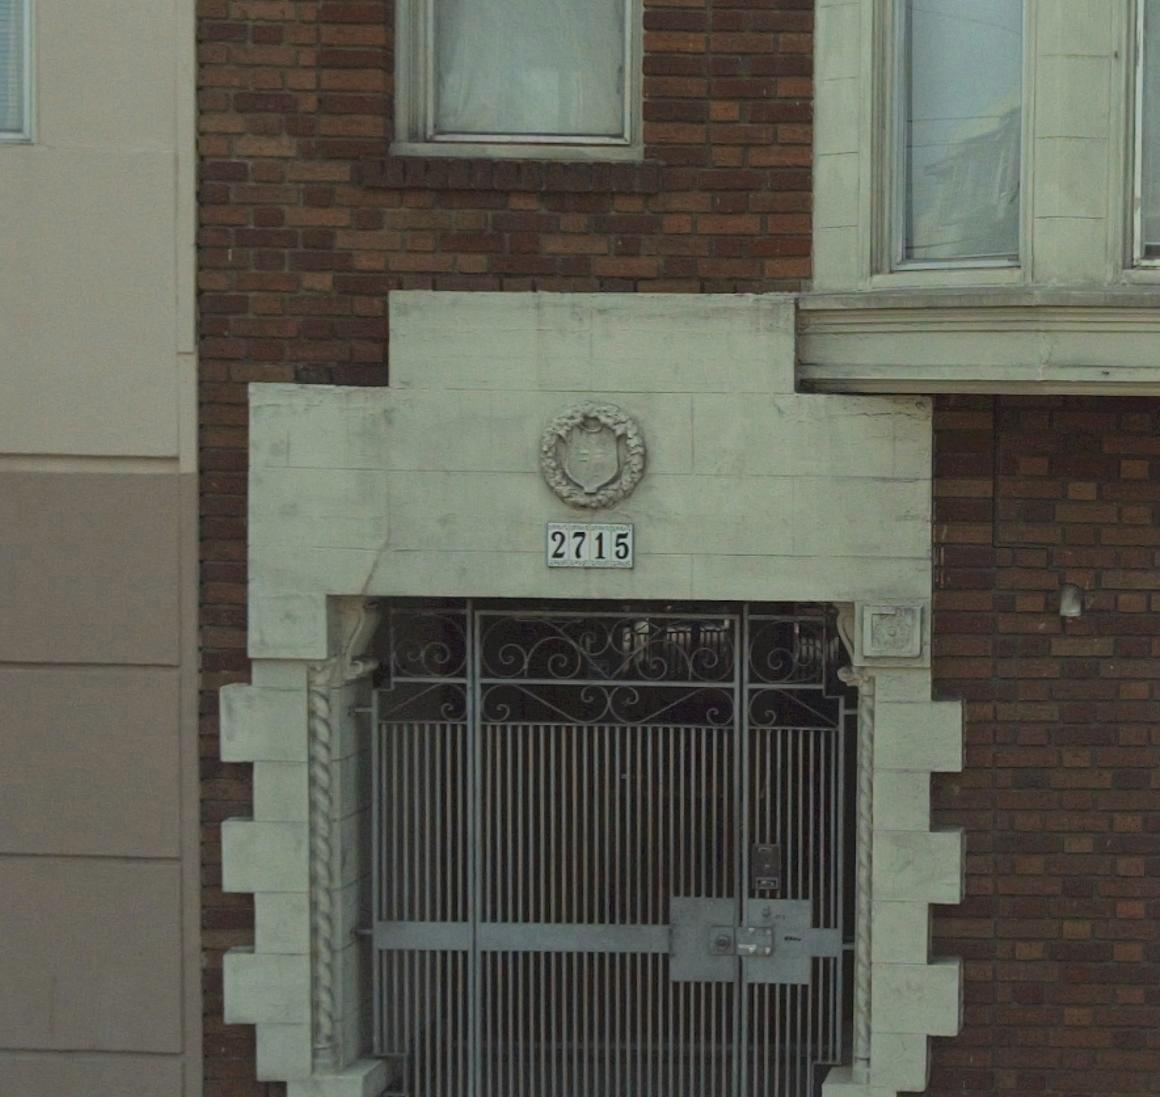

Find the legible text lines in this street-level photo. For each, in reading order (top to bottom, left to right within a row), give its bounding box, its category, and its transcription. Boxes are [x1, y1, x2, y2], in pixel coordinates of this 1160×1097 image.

[548, 528, 631, 563] StreetNumber: 2715